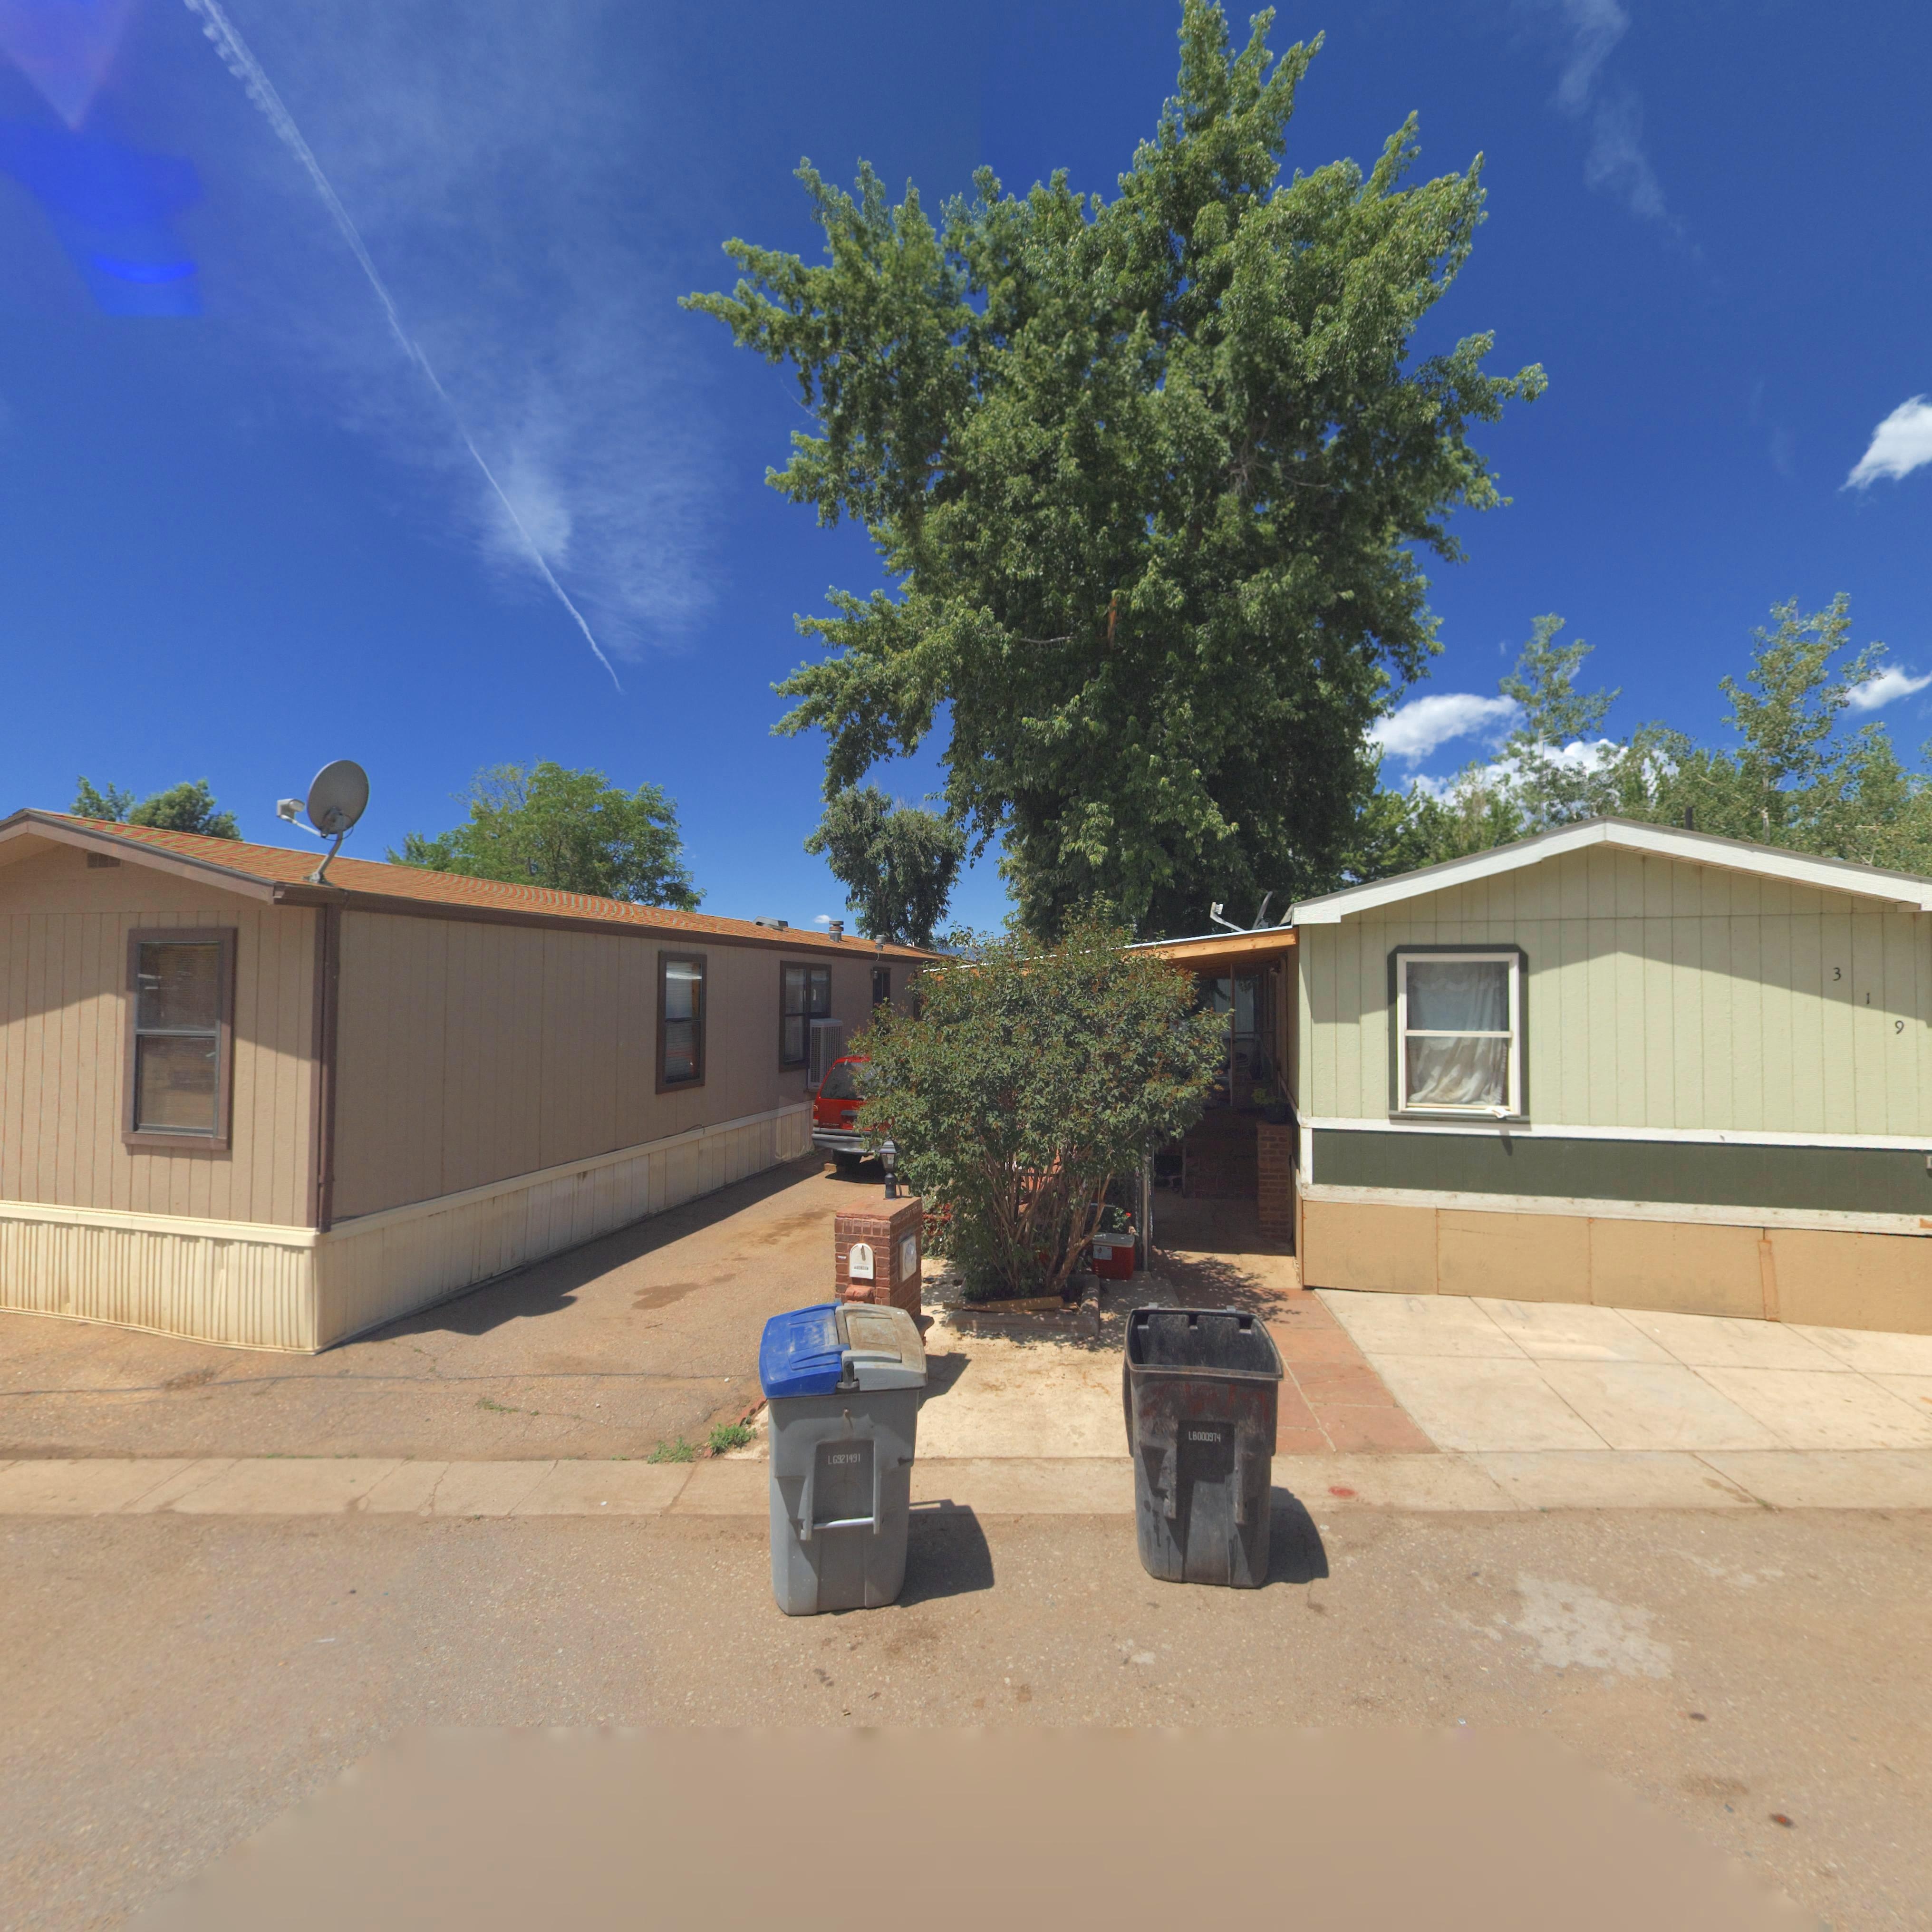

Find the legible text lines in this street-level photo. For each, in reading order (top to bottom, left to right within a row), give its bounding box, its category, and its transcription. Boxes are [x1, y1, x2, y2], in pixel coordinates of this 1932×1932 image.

[1832, 966, 1904, 1035] StreetNumber: 319